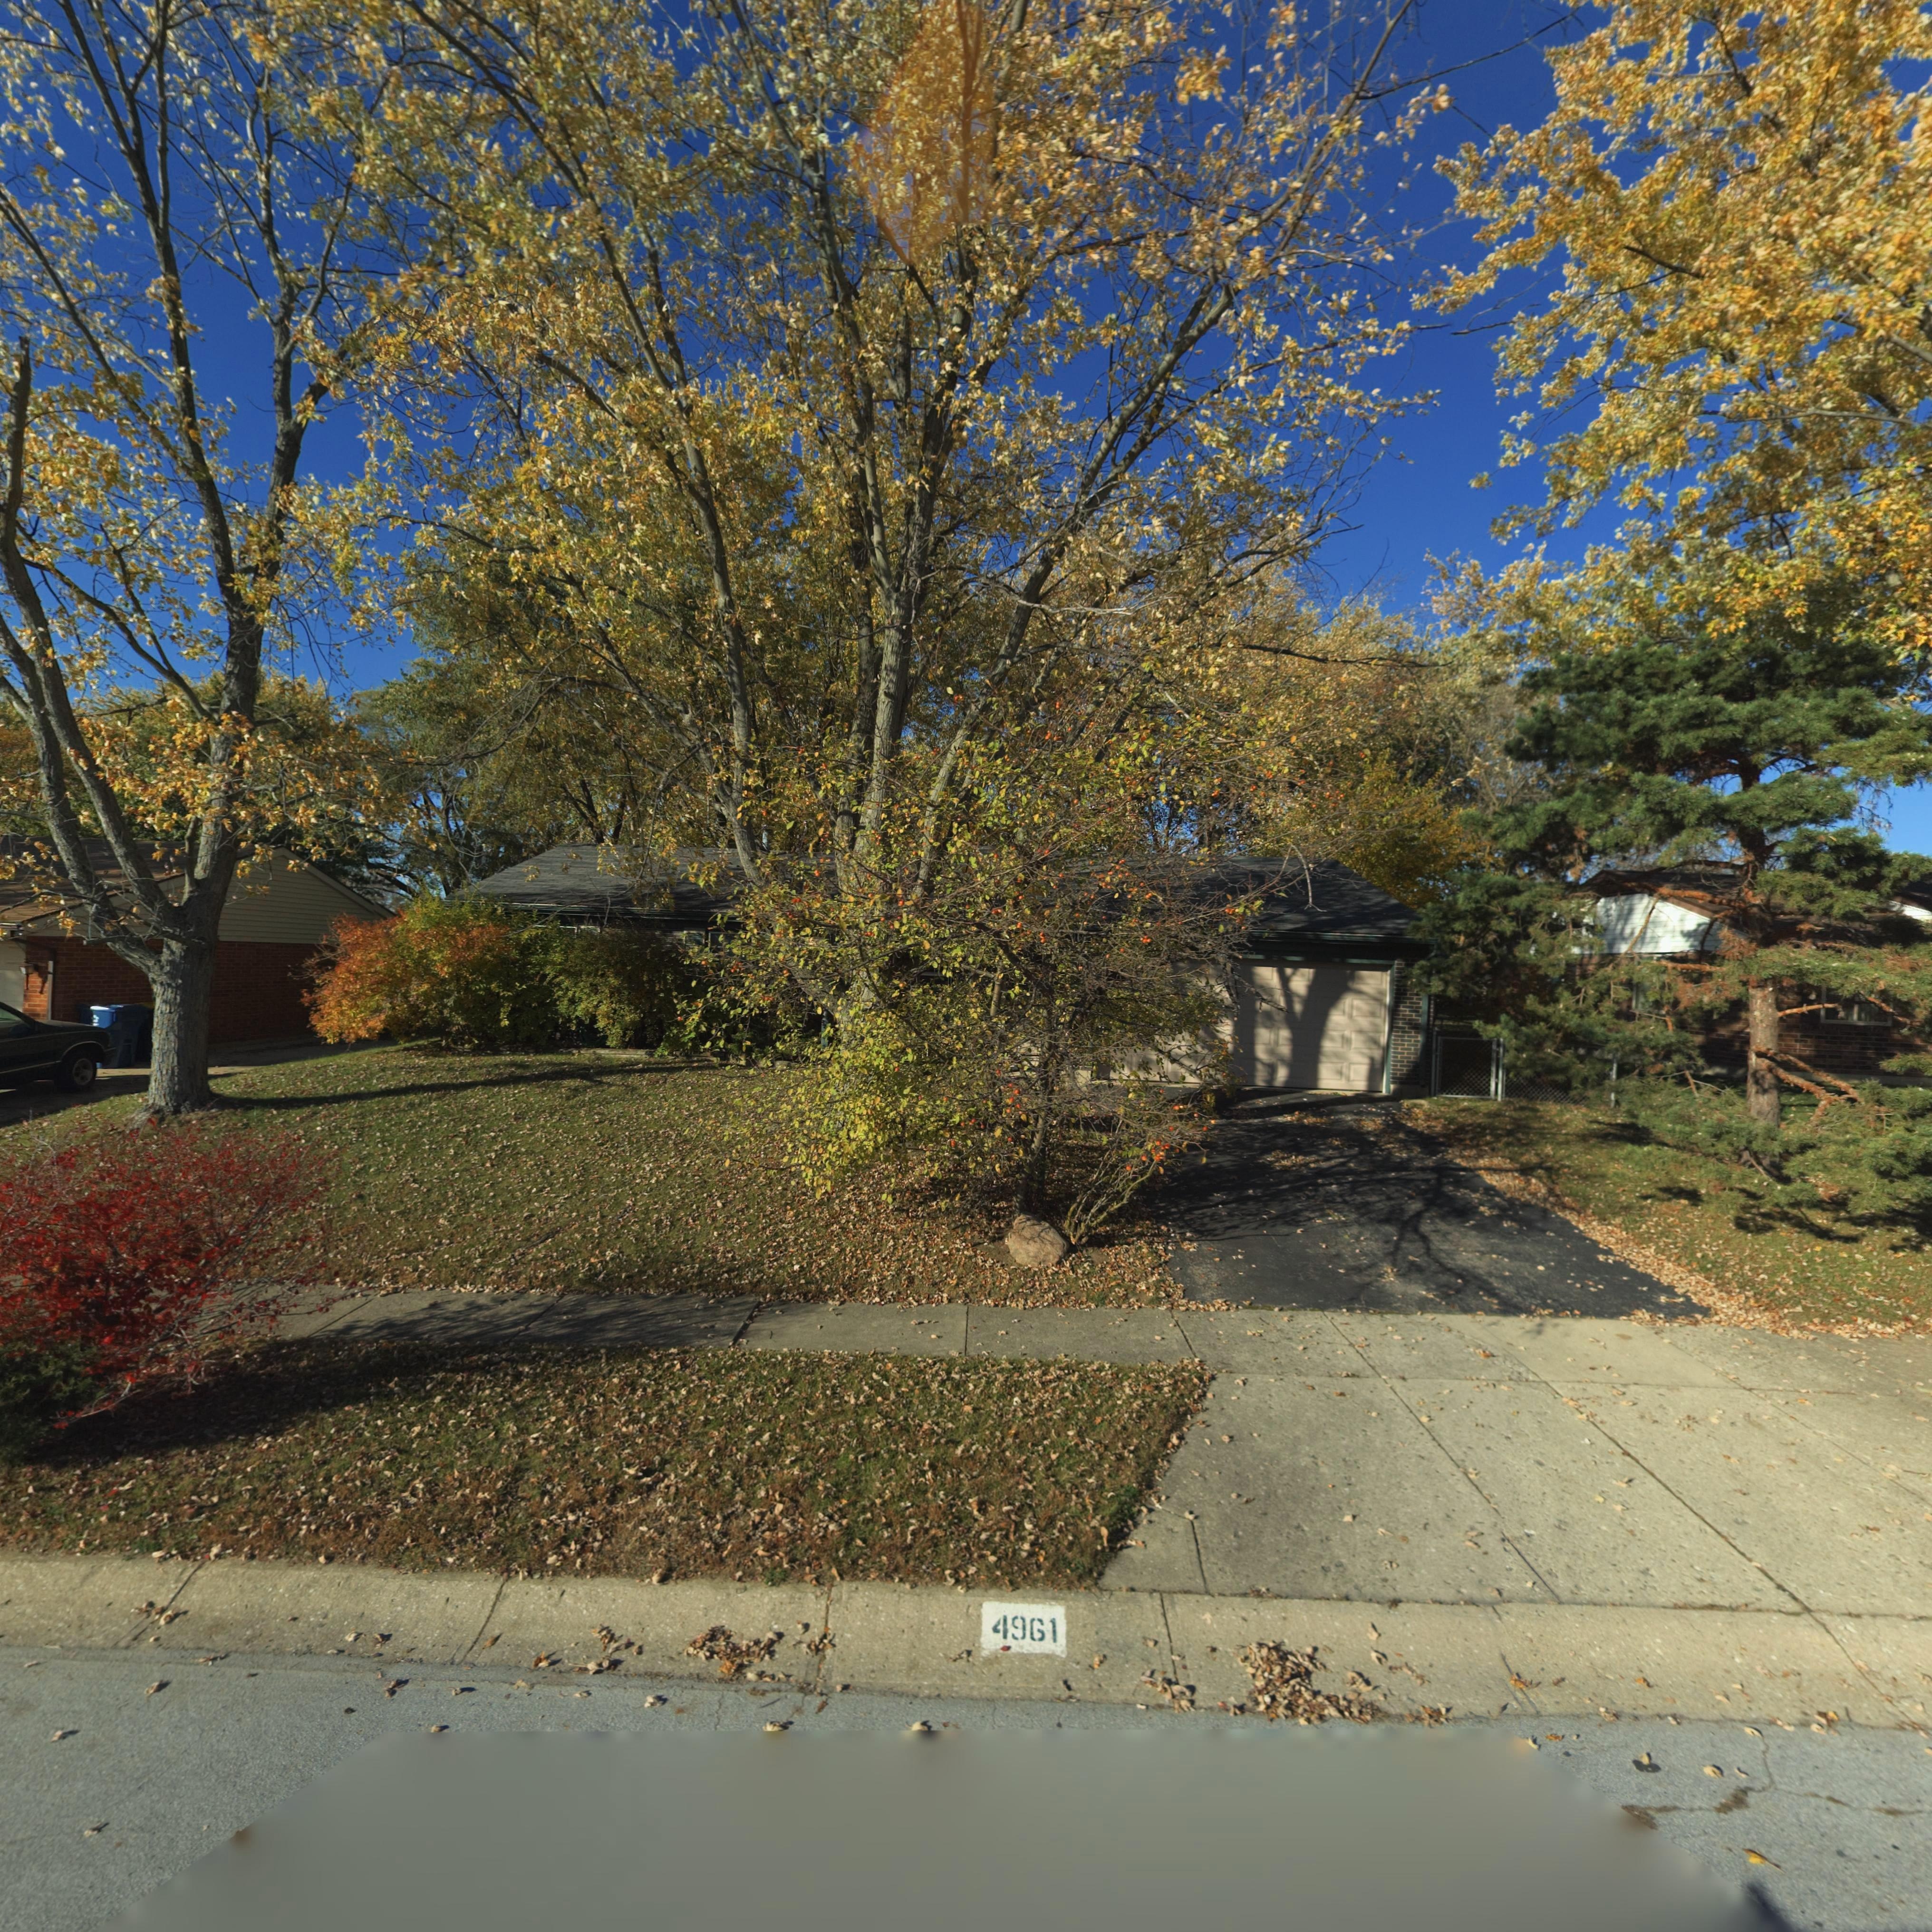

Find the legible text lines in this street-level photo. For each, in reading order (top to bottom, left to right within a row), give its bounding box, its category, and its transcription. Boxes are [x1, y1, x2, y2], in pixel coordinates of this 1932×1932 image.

[990, 1612, 1060, 1646] StreetNumber: 4961